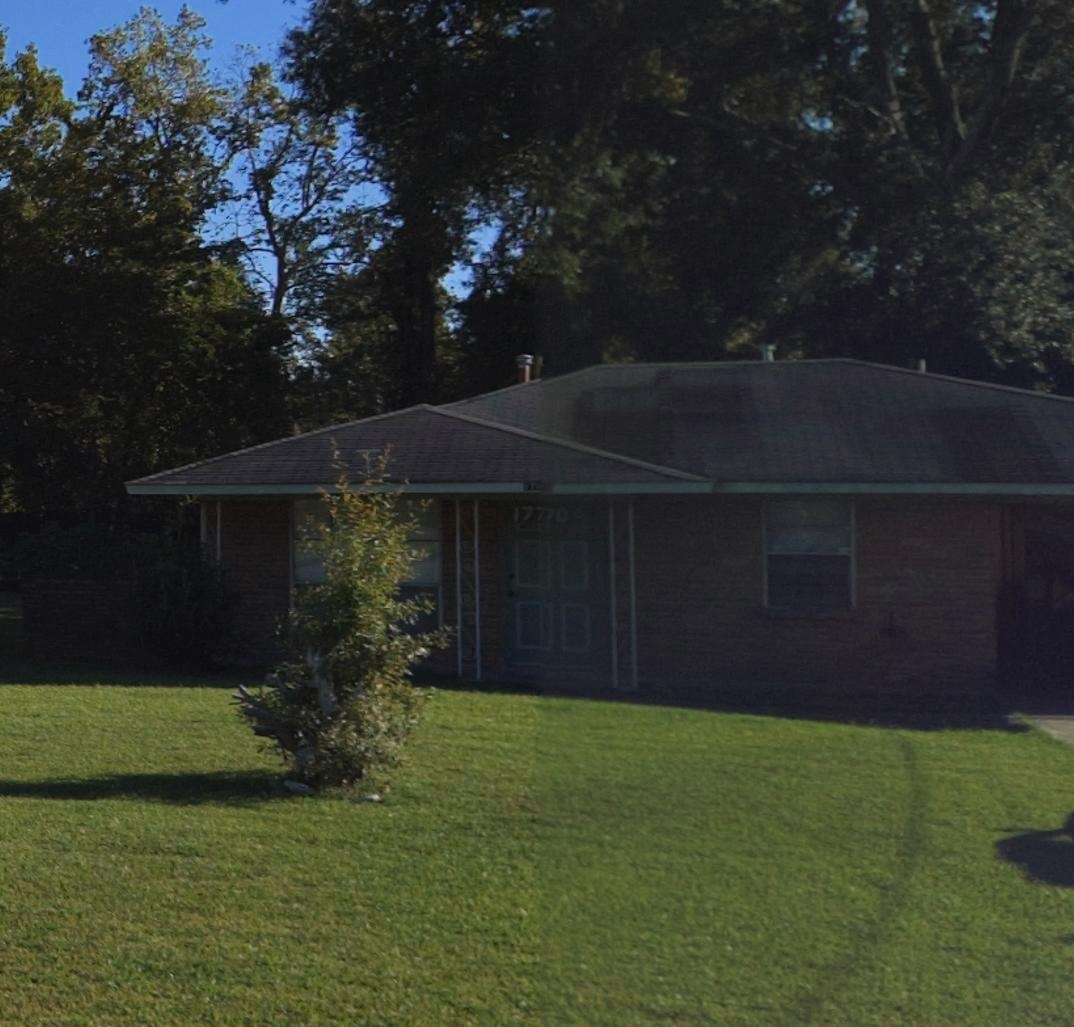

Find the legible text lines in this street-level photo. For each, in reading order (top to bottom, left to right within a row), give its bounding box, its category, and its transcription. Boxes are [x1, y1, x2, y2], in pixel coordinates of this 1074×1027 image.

[513, 504, 571, 524] StreetNumber: 17*0